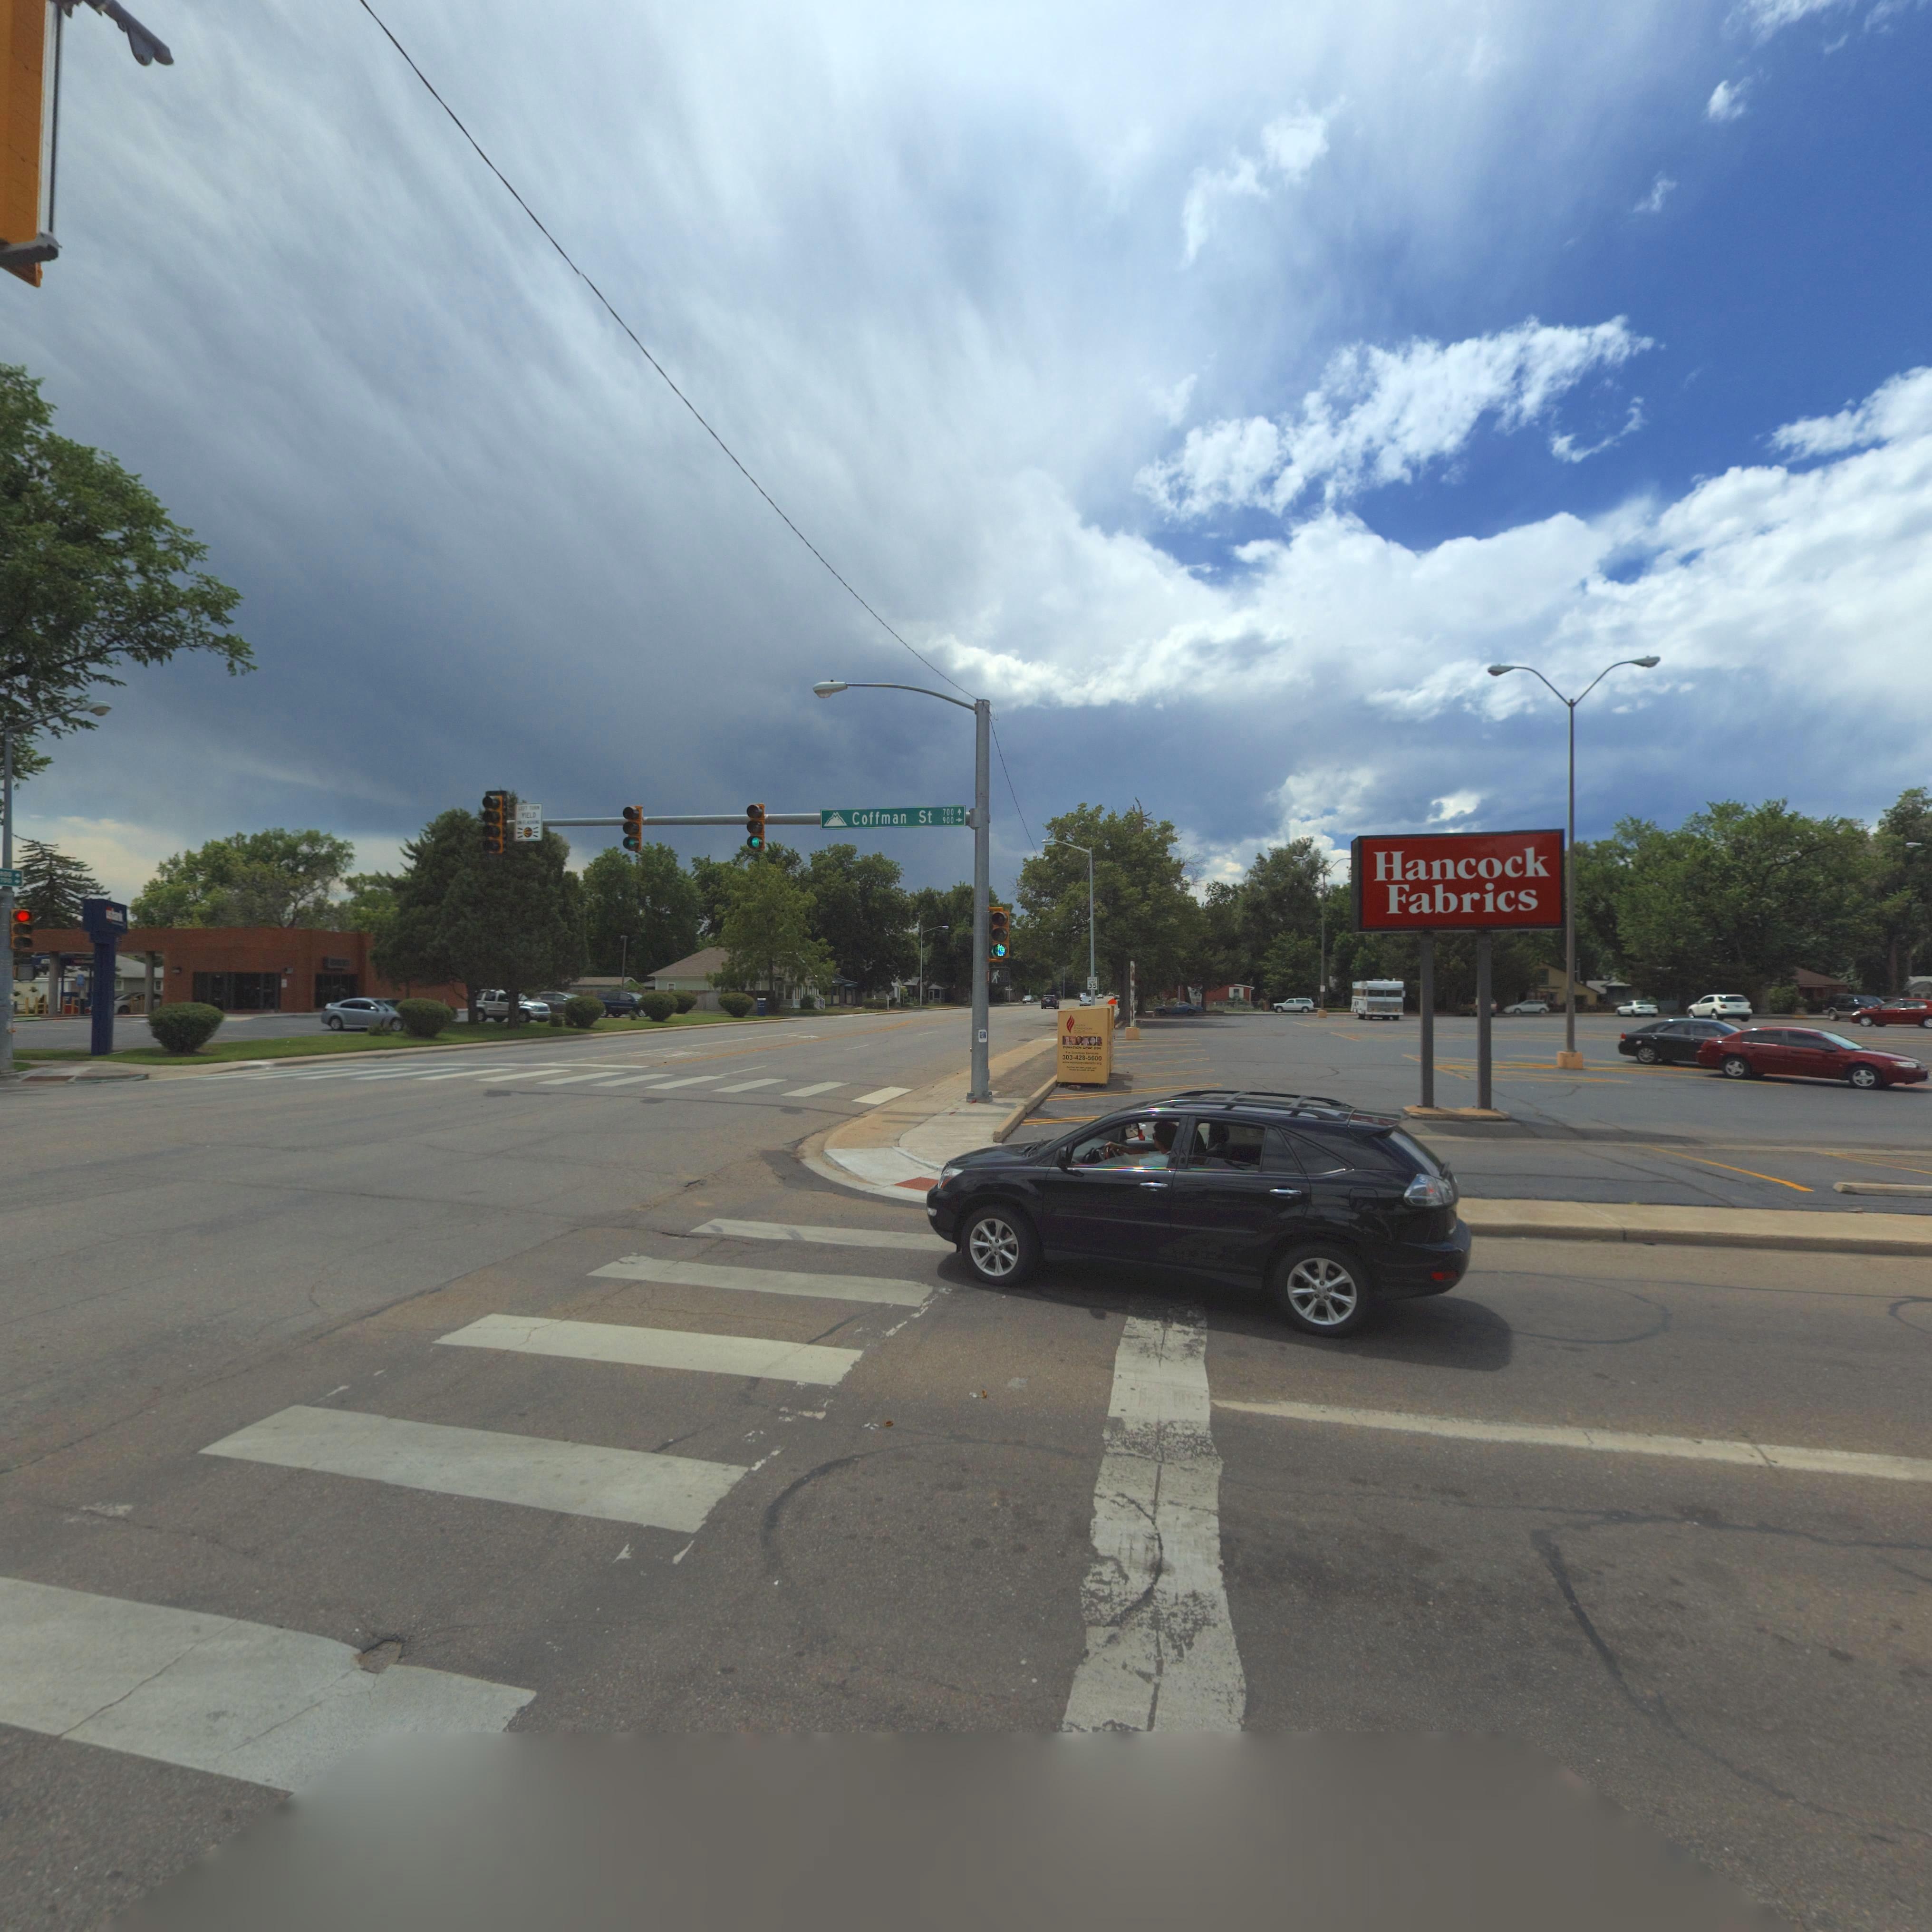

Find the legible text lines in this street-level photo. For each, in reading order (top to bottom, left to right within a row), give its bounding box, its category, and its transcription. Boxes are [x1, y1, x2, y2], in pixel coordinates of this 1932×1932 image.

[852, 810, 932, 825] StreetName: Coffman St
[942, 808, 954, 815] StreetNumberRange: 700
[942, 817, 962, 823] StreetNumberRange: 900 ->
[1373, 847, 1550, 881] BusinessName: Hancock
[1386, 882, 1537, 914] BusinessName: Fabrics